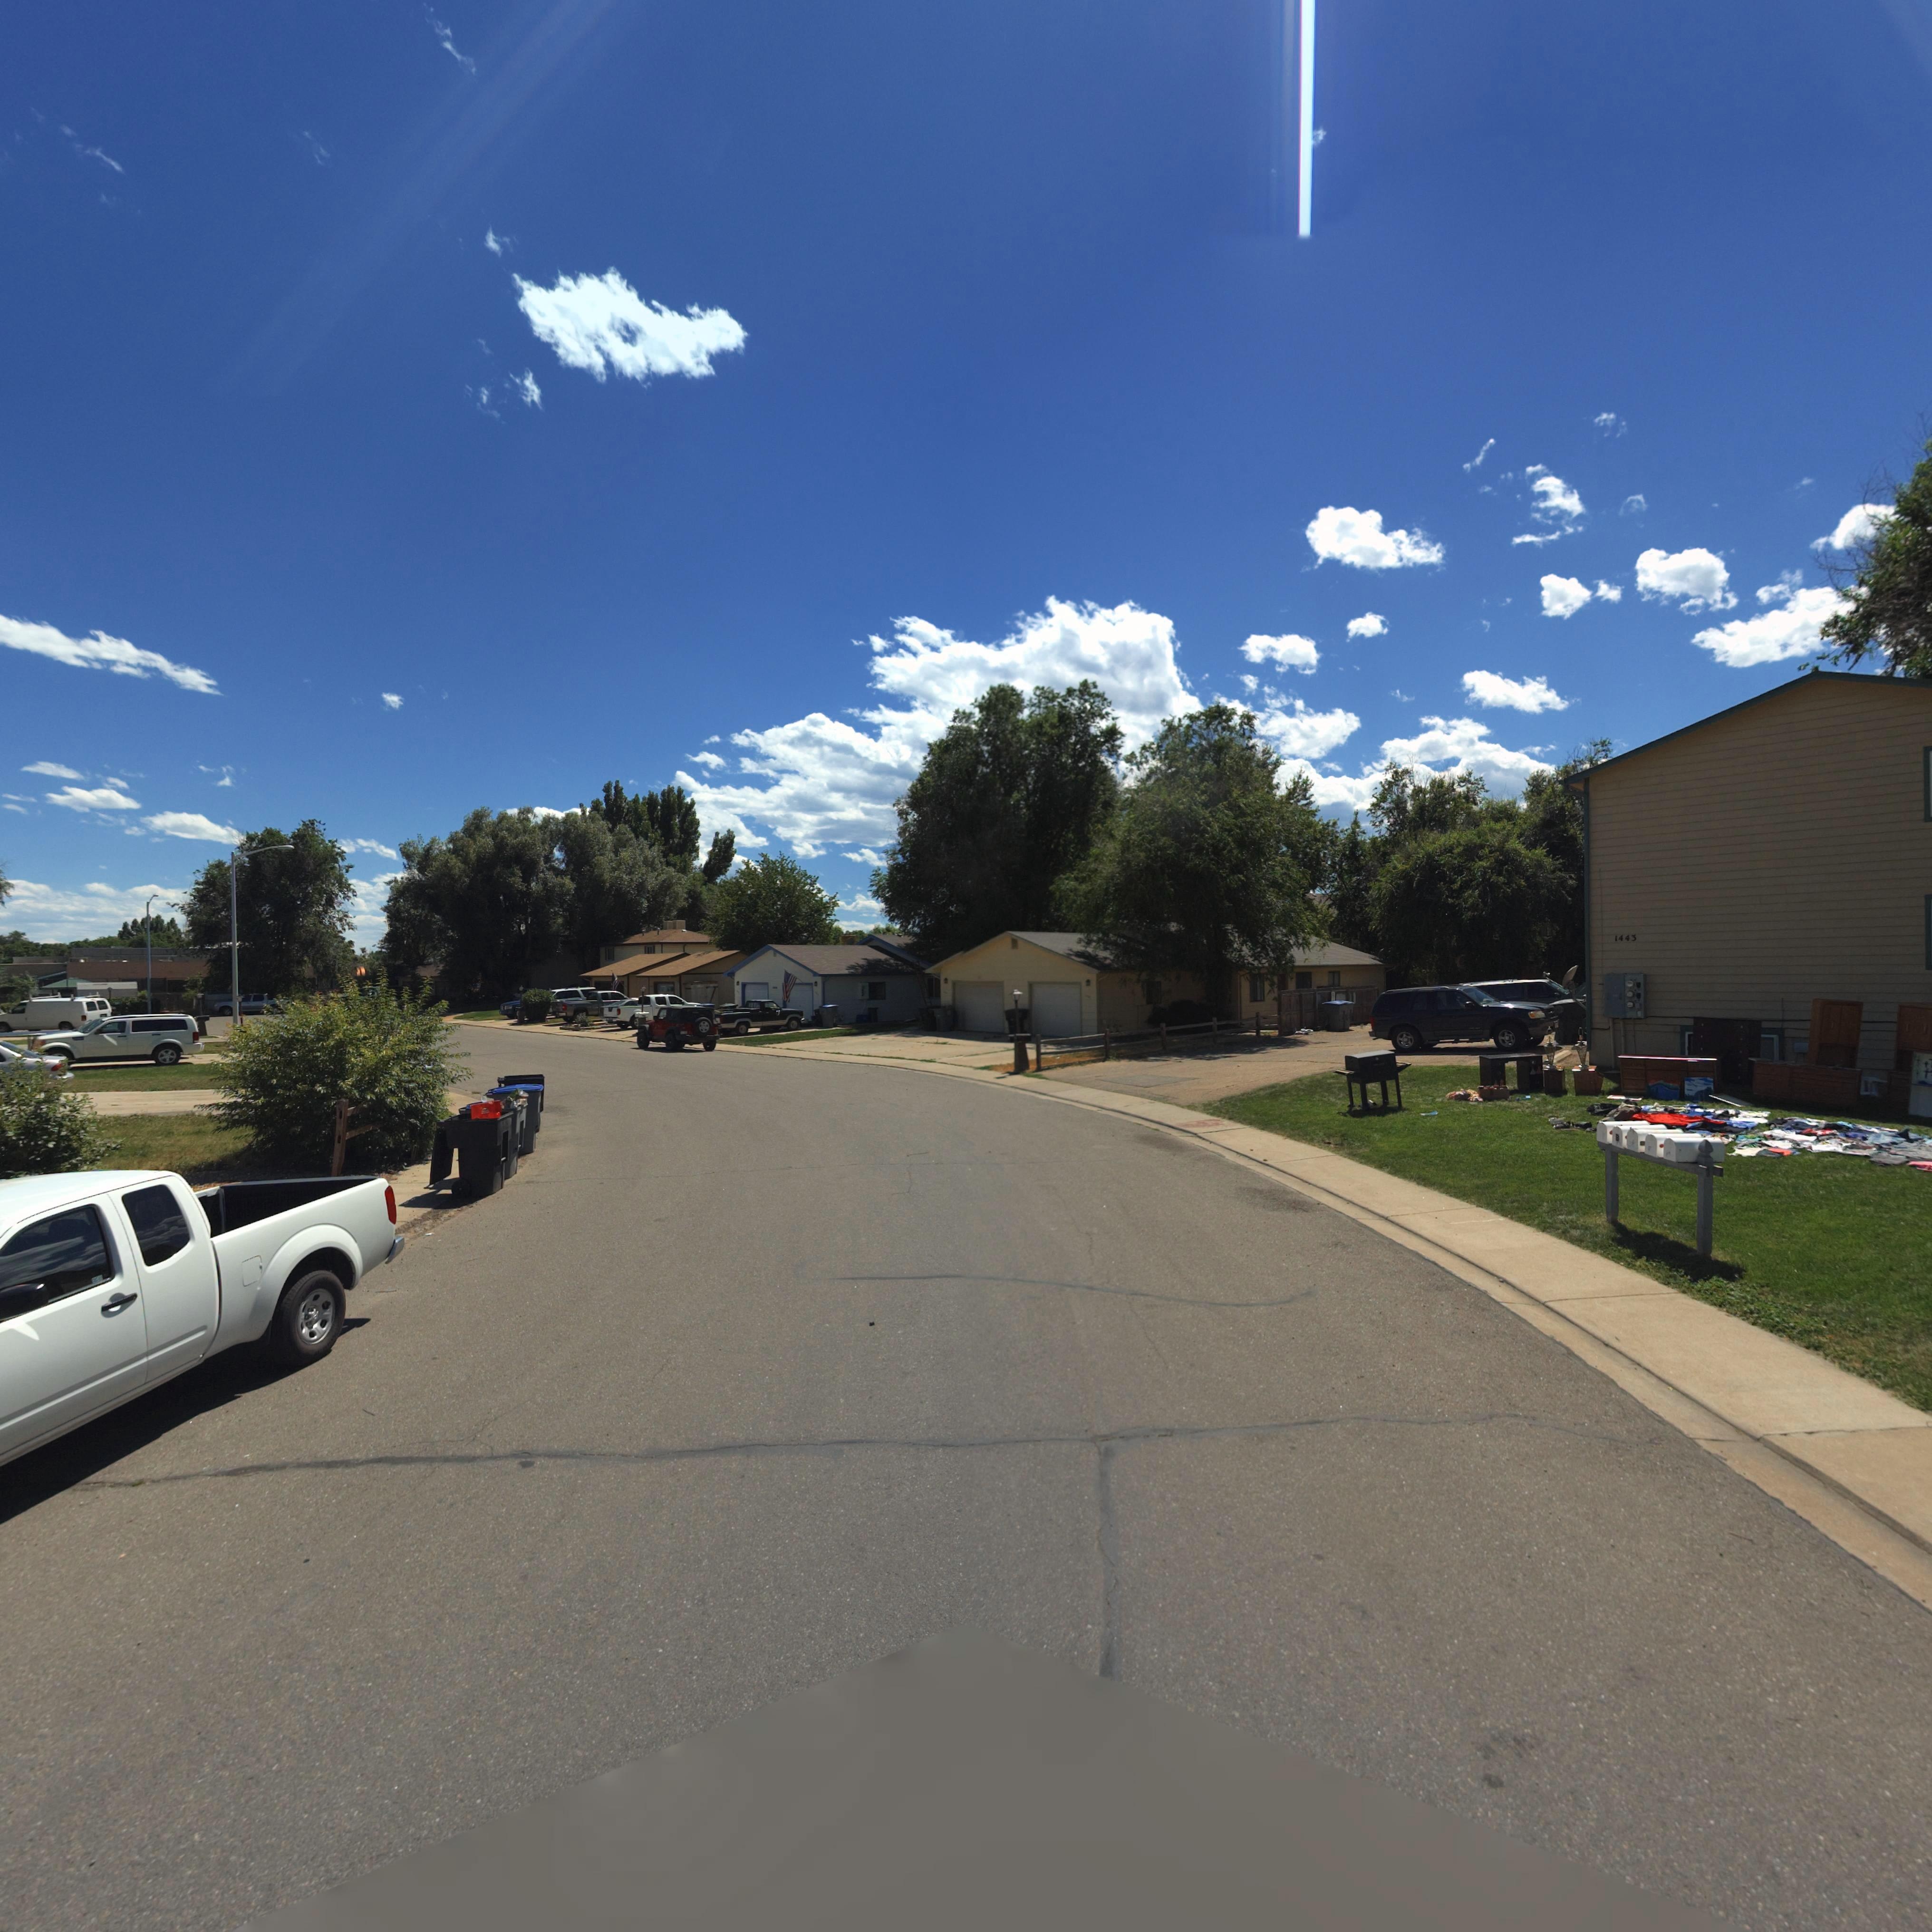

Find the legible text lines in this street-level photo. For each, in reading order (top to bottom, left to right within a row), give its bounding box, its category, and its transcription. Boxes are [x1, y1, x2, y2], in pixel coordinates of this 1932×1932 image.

[1614, 934, 1636, 942] StreetNumber: 1443